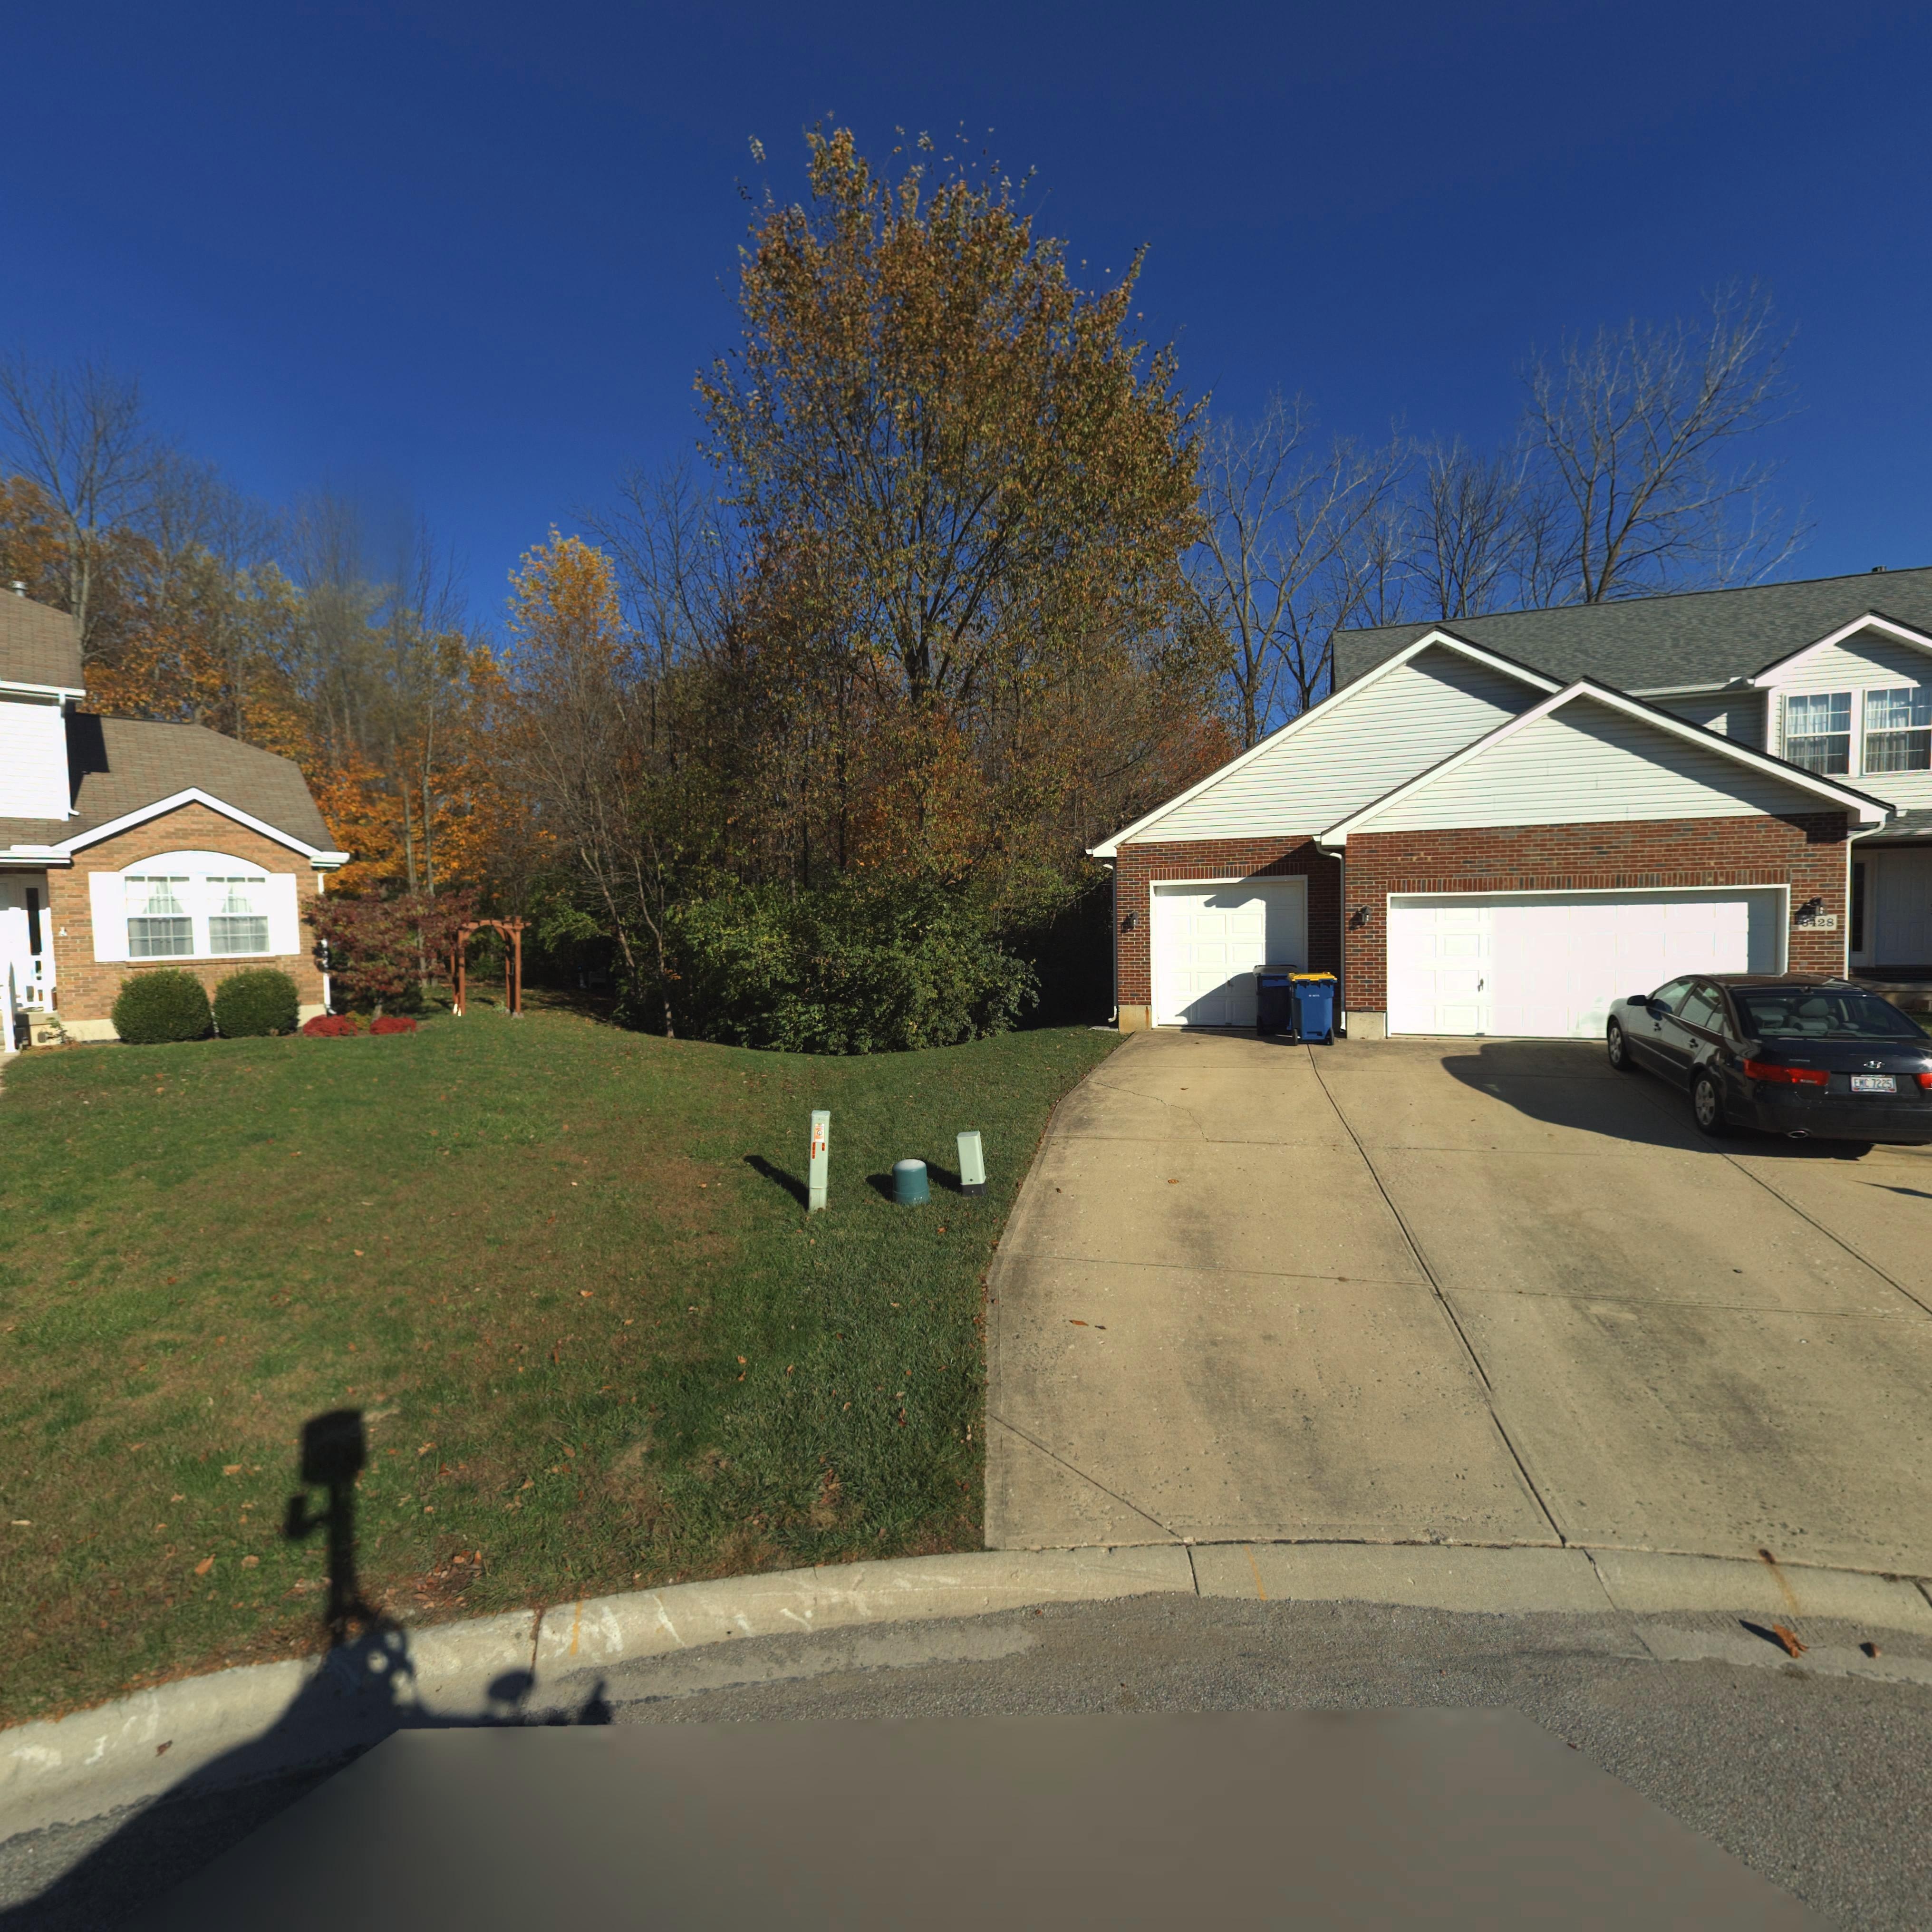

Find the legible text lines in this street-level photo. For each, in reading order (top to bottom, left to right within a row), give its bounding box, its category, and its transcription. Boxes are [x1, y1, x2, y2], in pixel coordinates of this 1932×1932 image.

[1807, 917, 1835, 928] StreetNumber: 428
[1854, 1078, 1893, 1088] None: EMC 7225